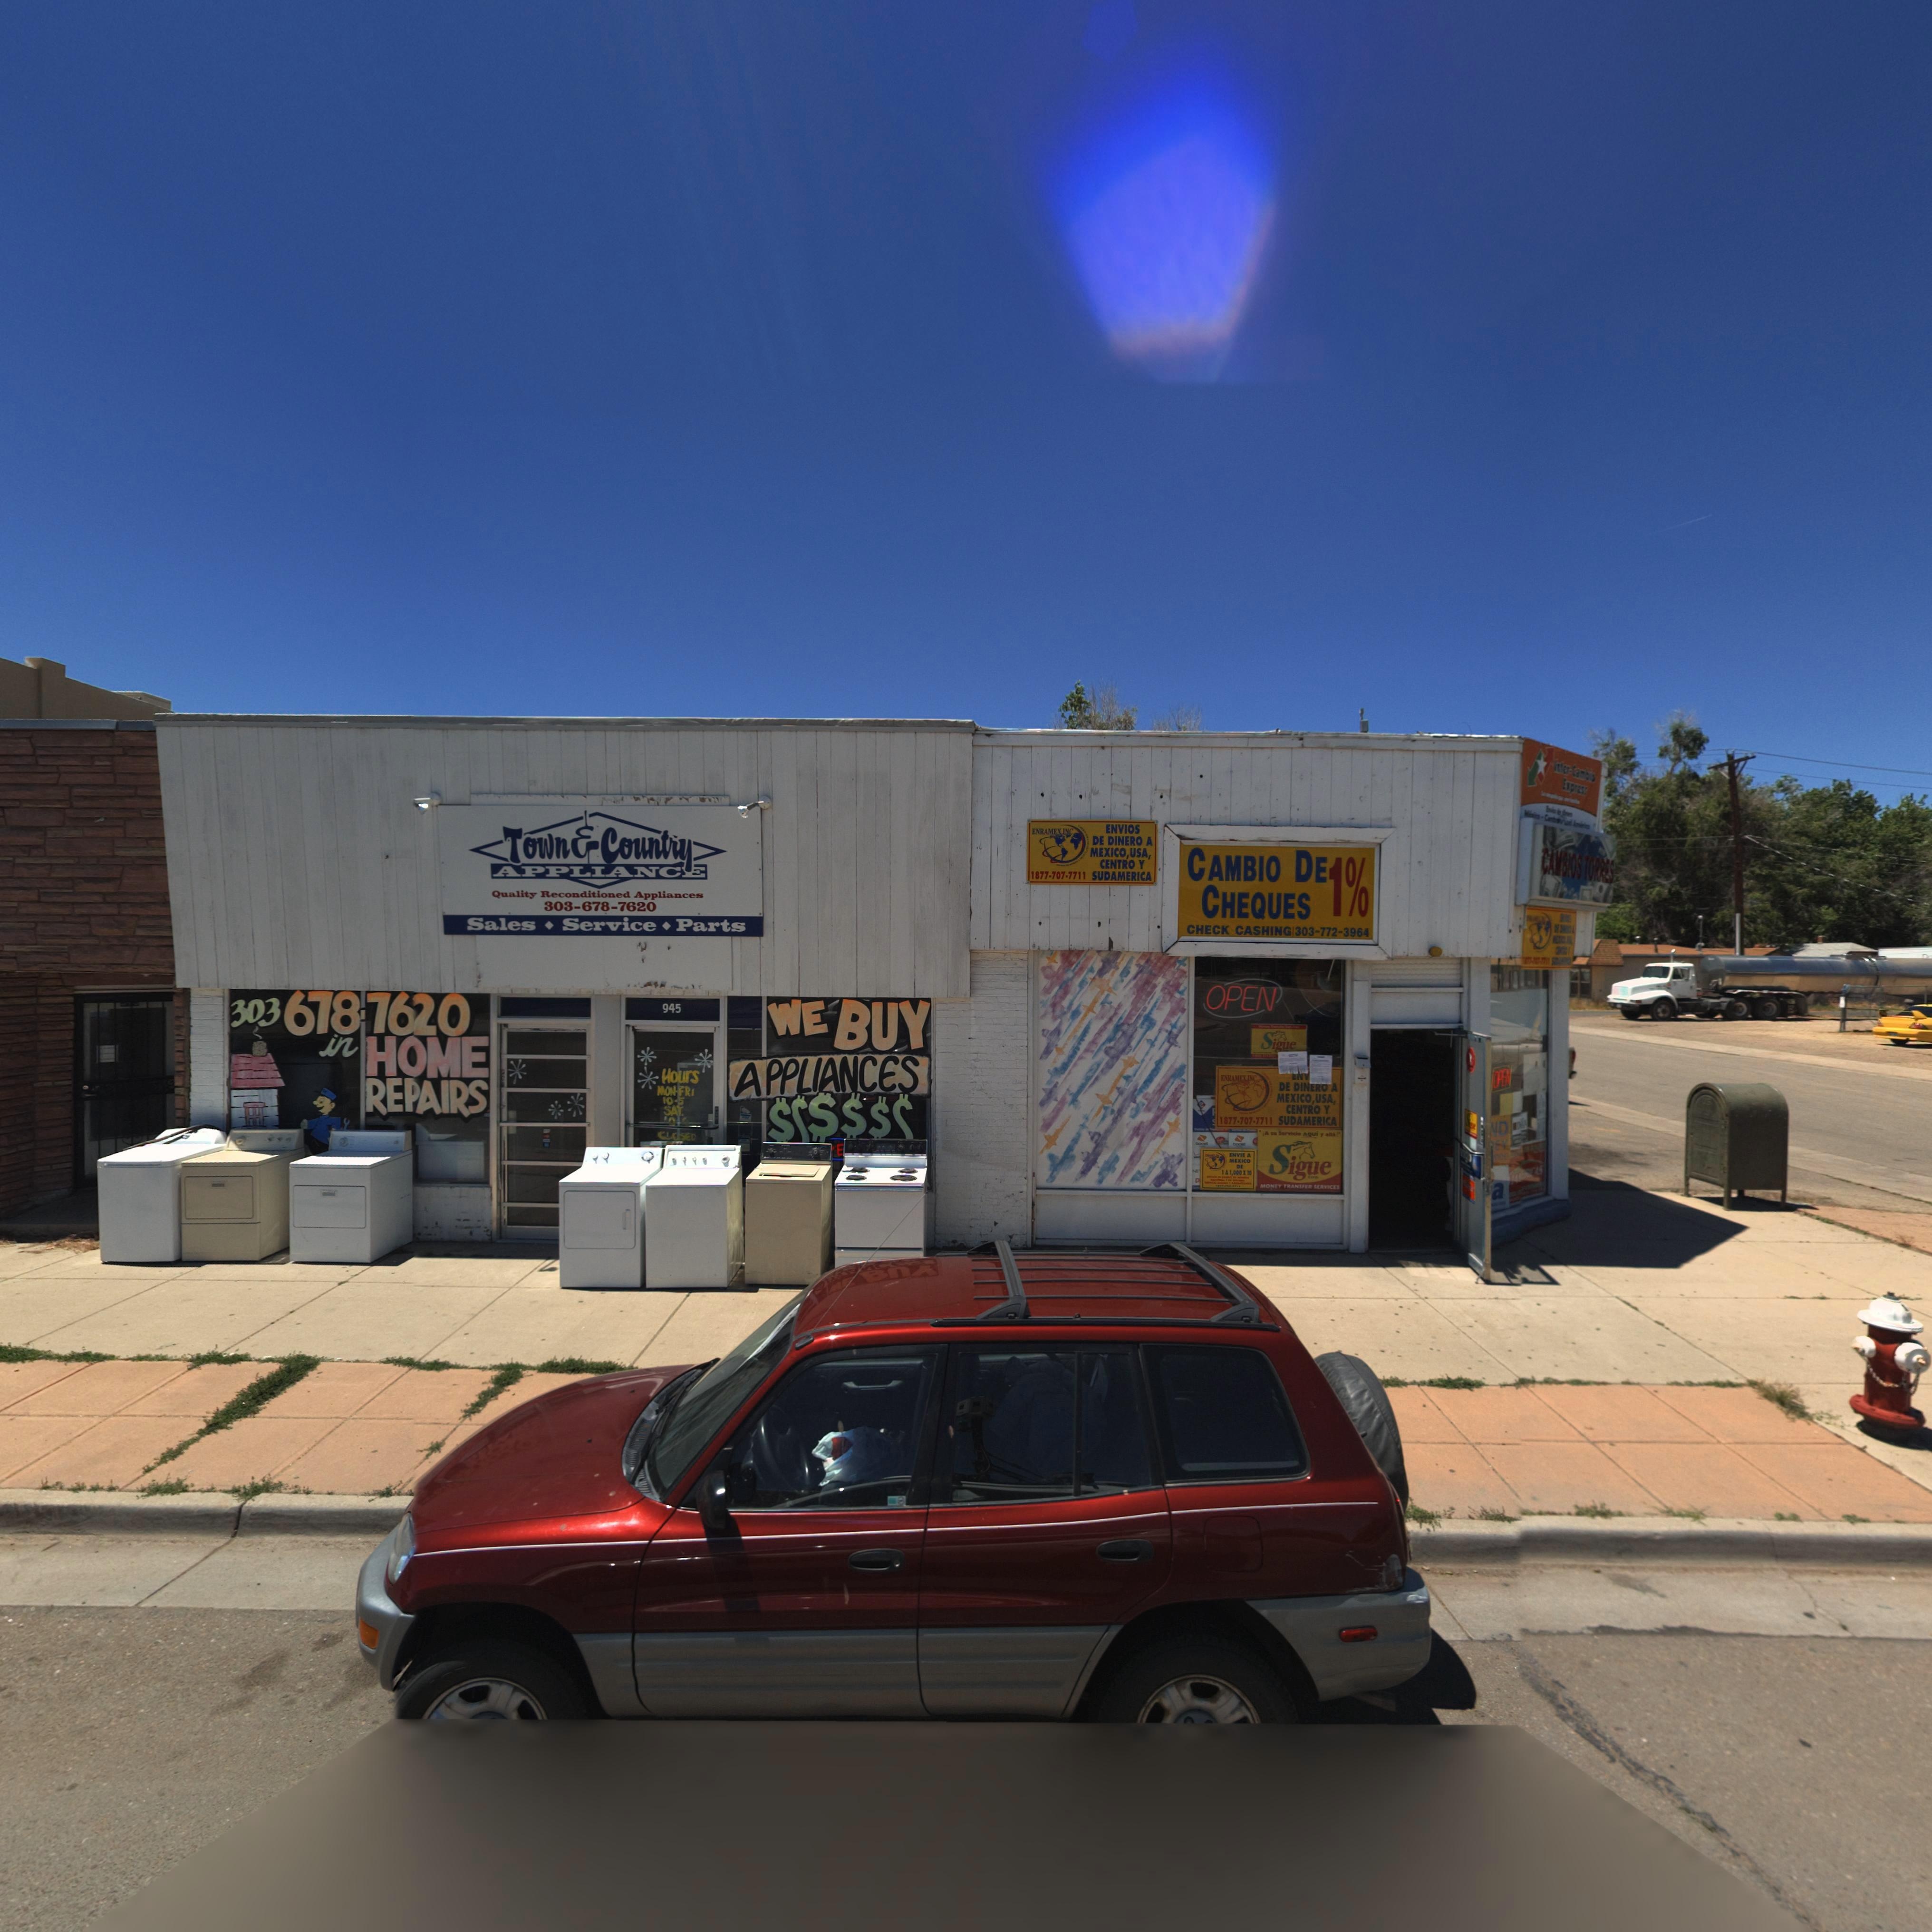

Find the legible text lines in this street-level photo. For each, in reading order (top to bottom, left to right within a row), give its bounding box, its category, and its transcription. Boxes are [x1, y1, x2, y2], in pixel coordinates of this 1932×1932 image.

[501, 824, 692, 873] BusinessName: Town * Country
[492, 865, 706, 878] BusinessName: APPLIANCE
[662, 1003, 681, 1014] StreetNumber: 945